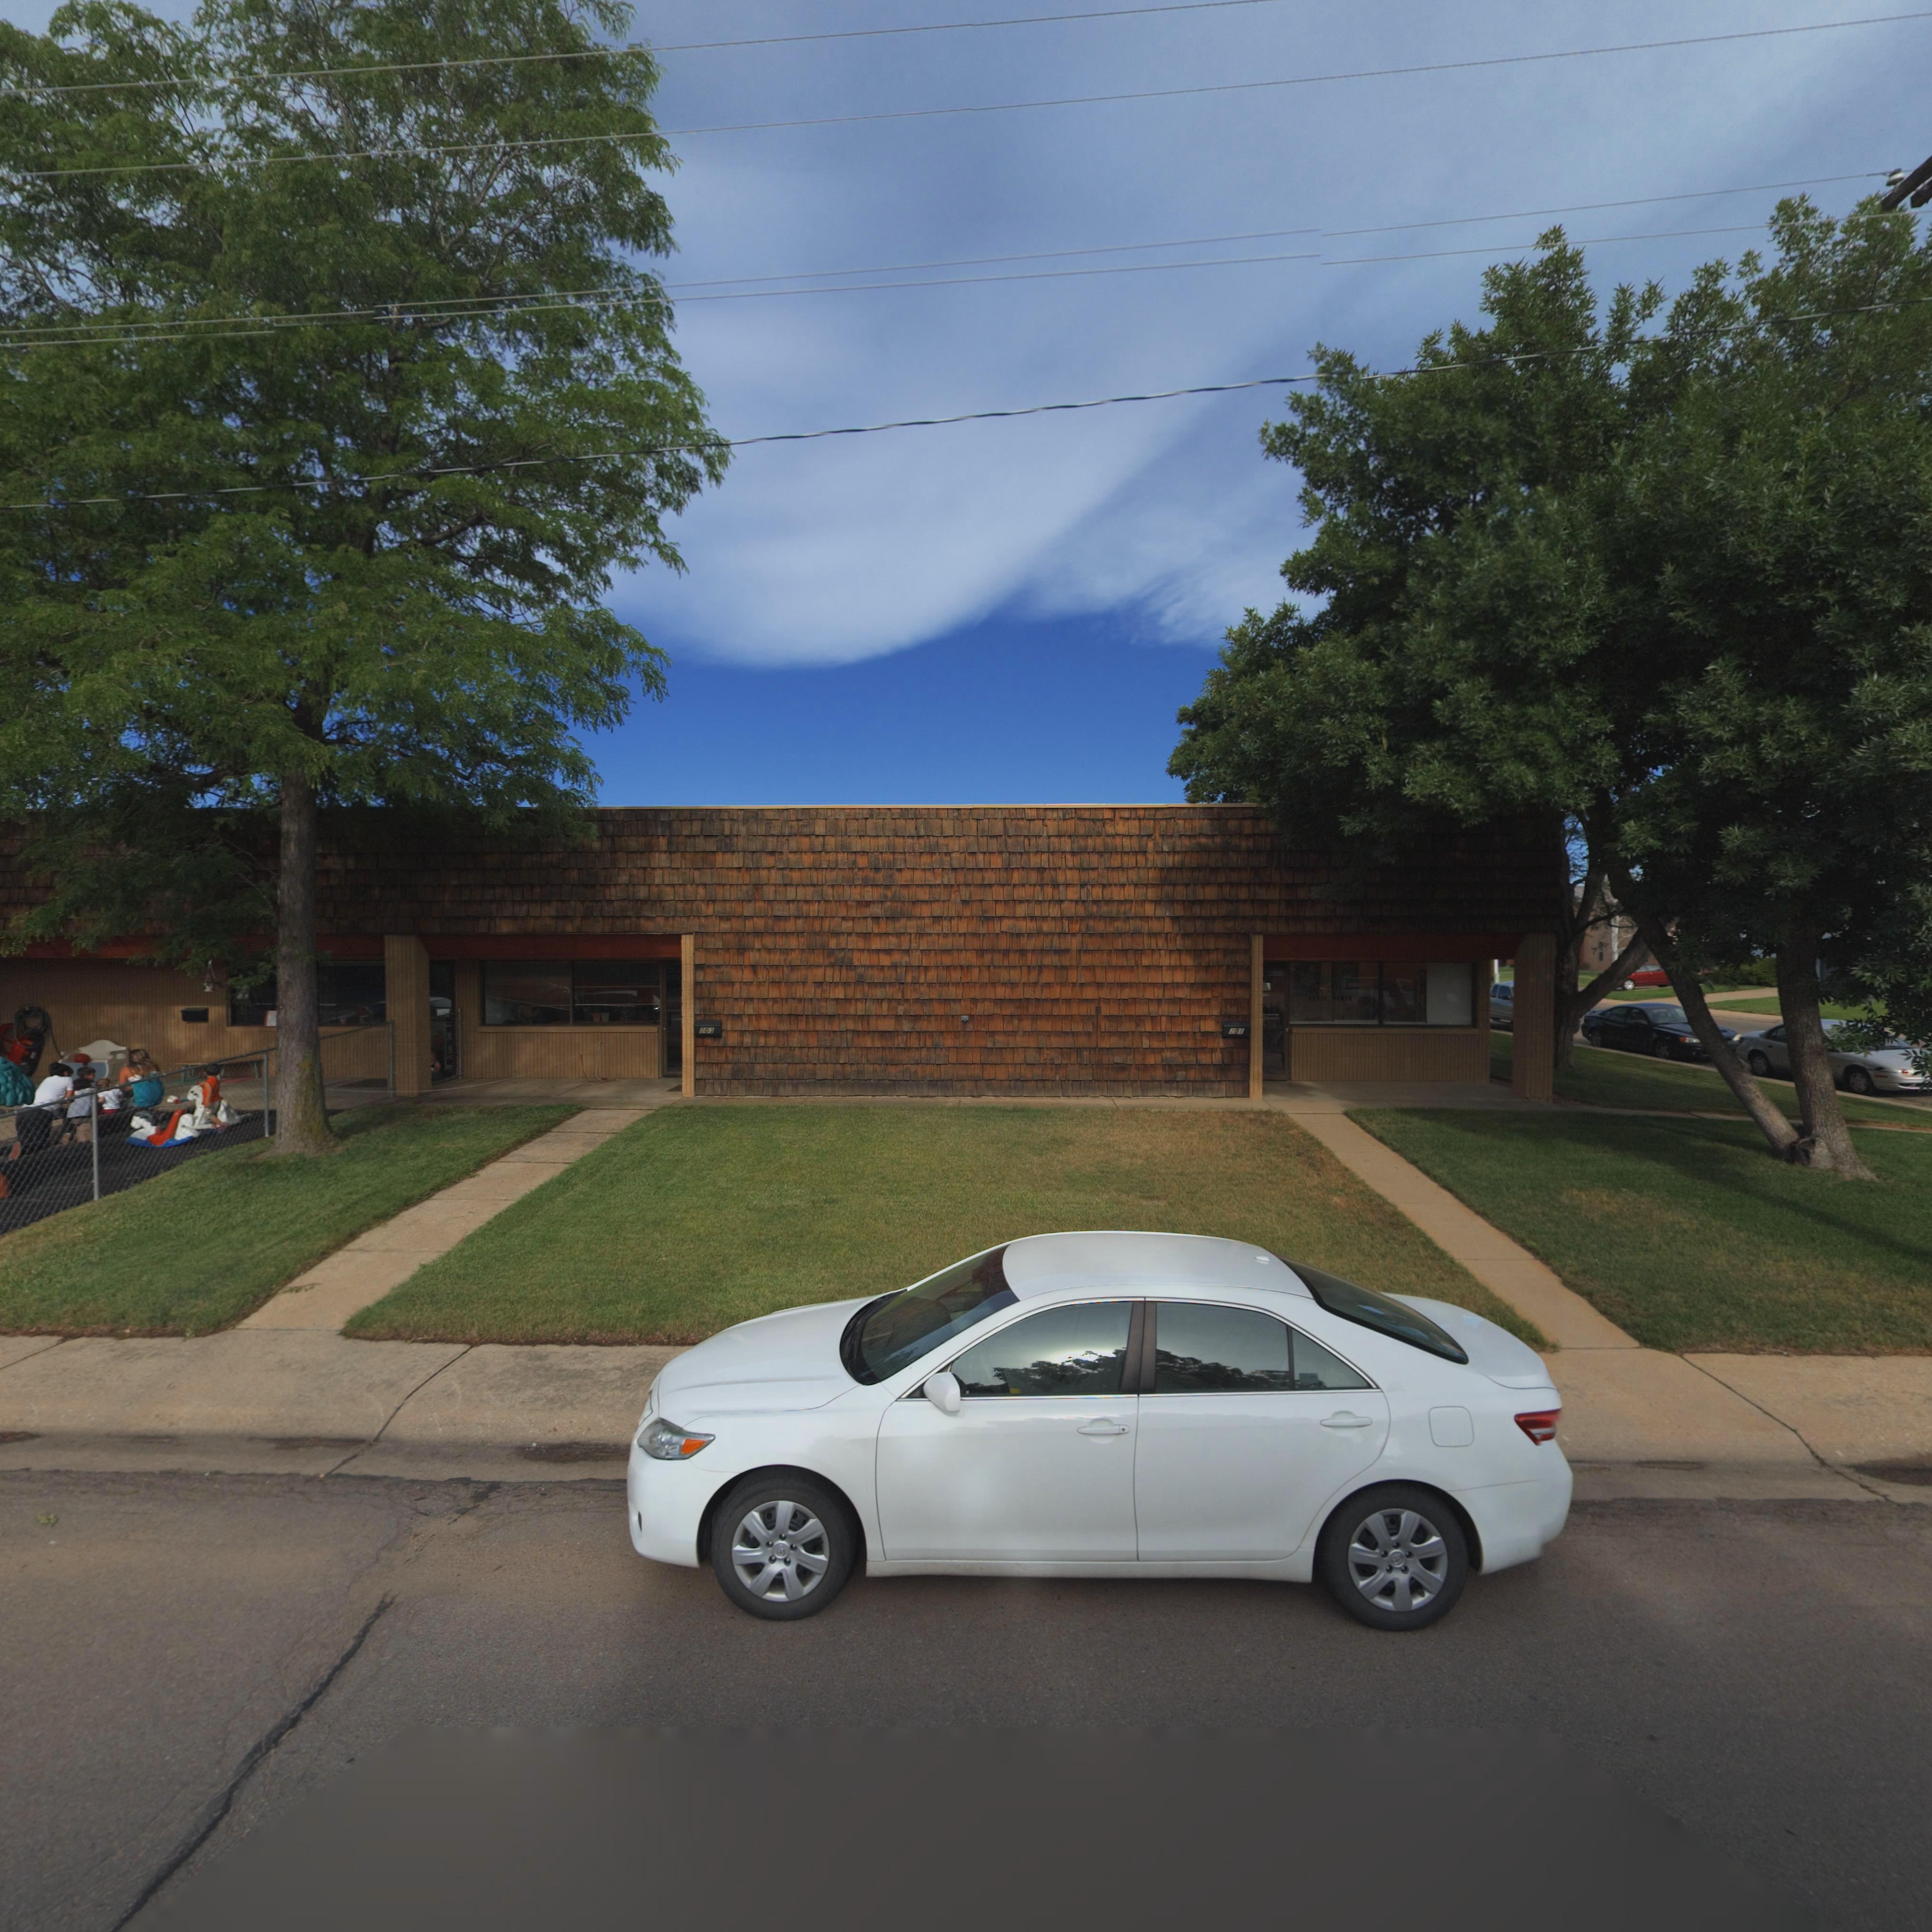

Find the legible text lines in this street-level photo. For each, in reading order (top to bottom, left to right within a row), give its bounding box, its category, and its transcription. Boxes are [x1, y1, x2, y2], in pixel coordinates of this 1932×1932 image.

[698, 1027, 714, 1033] StreetNumber: 203
[1228, 1027, 1244, 1034] StreetNumber: 201